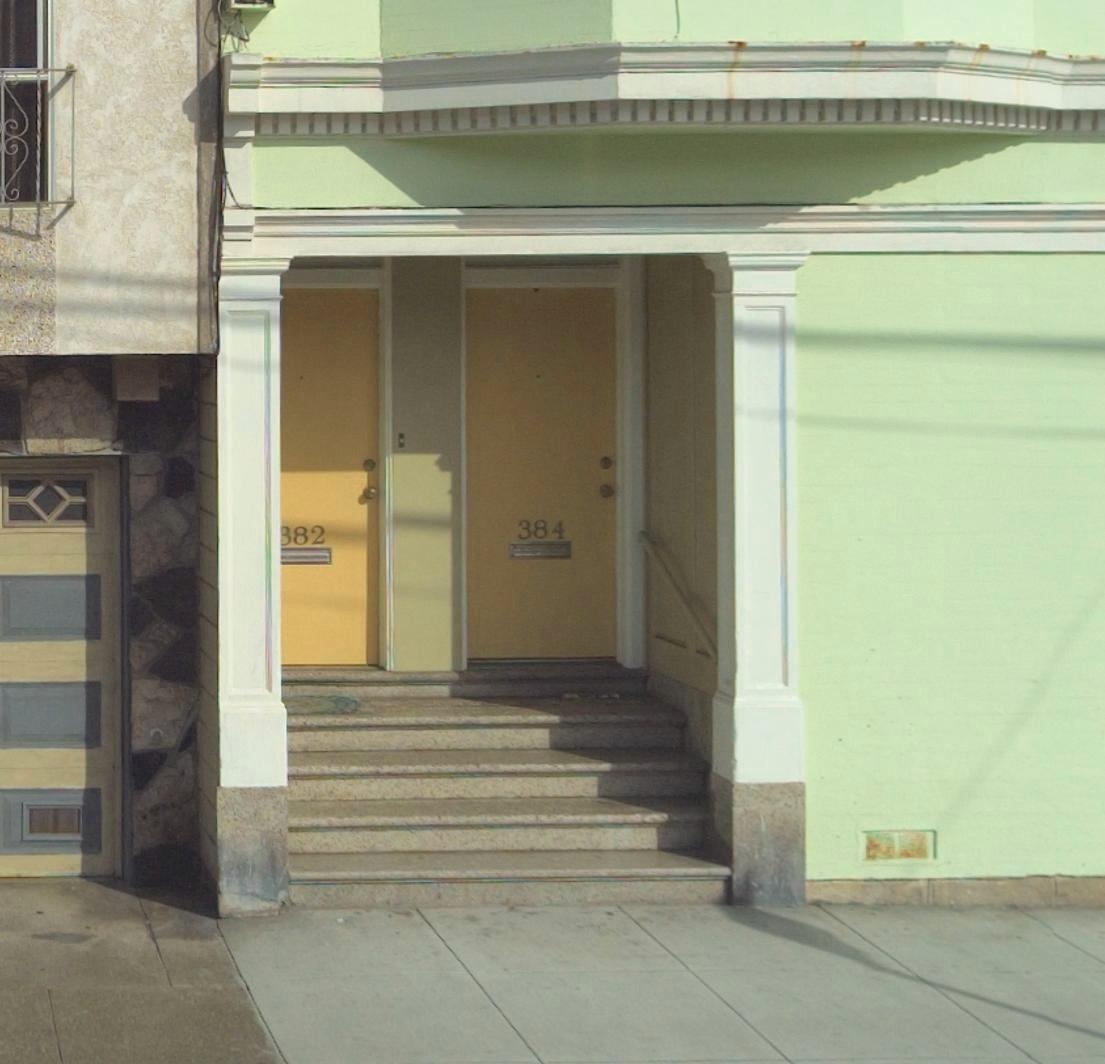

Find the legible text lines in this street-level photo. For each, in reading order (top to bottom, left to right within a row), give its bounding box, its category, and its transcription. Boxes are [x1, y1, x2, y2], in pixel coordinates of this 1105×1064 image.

[292, 523, 326, 546] StreetNumber: 82
[517, 518, 566, 541] StreetNumber: 384